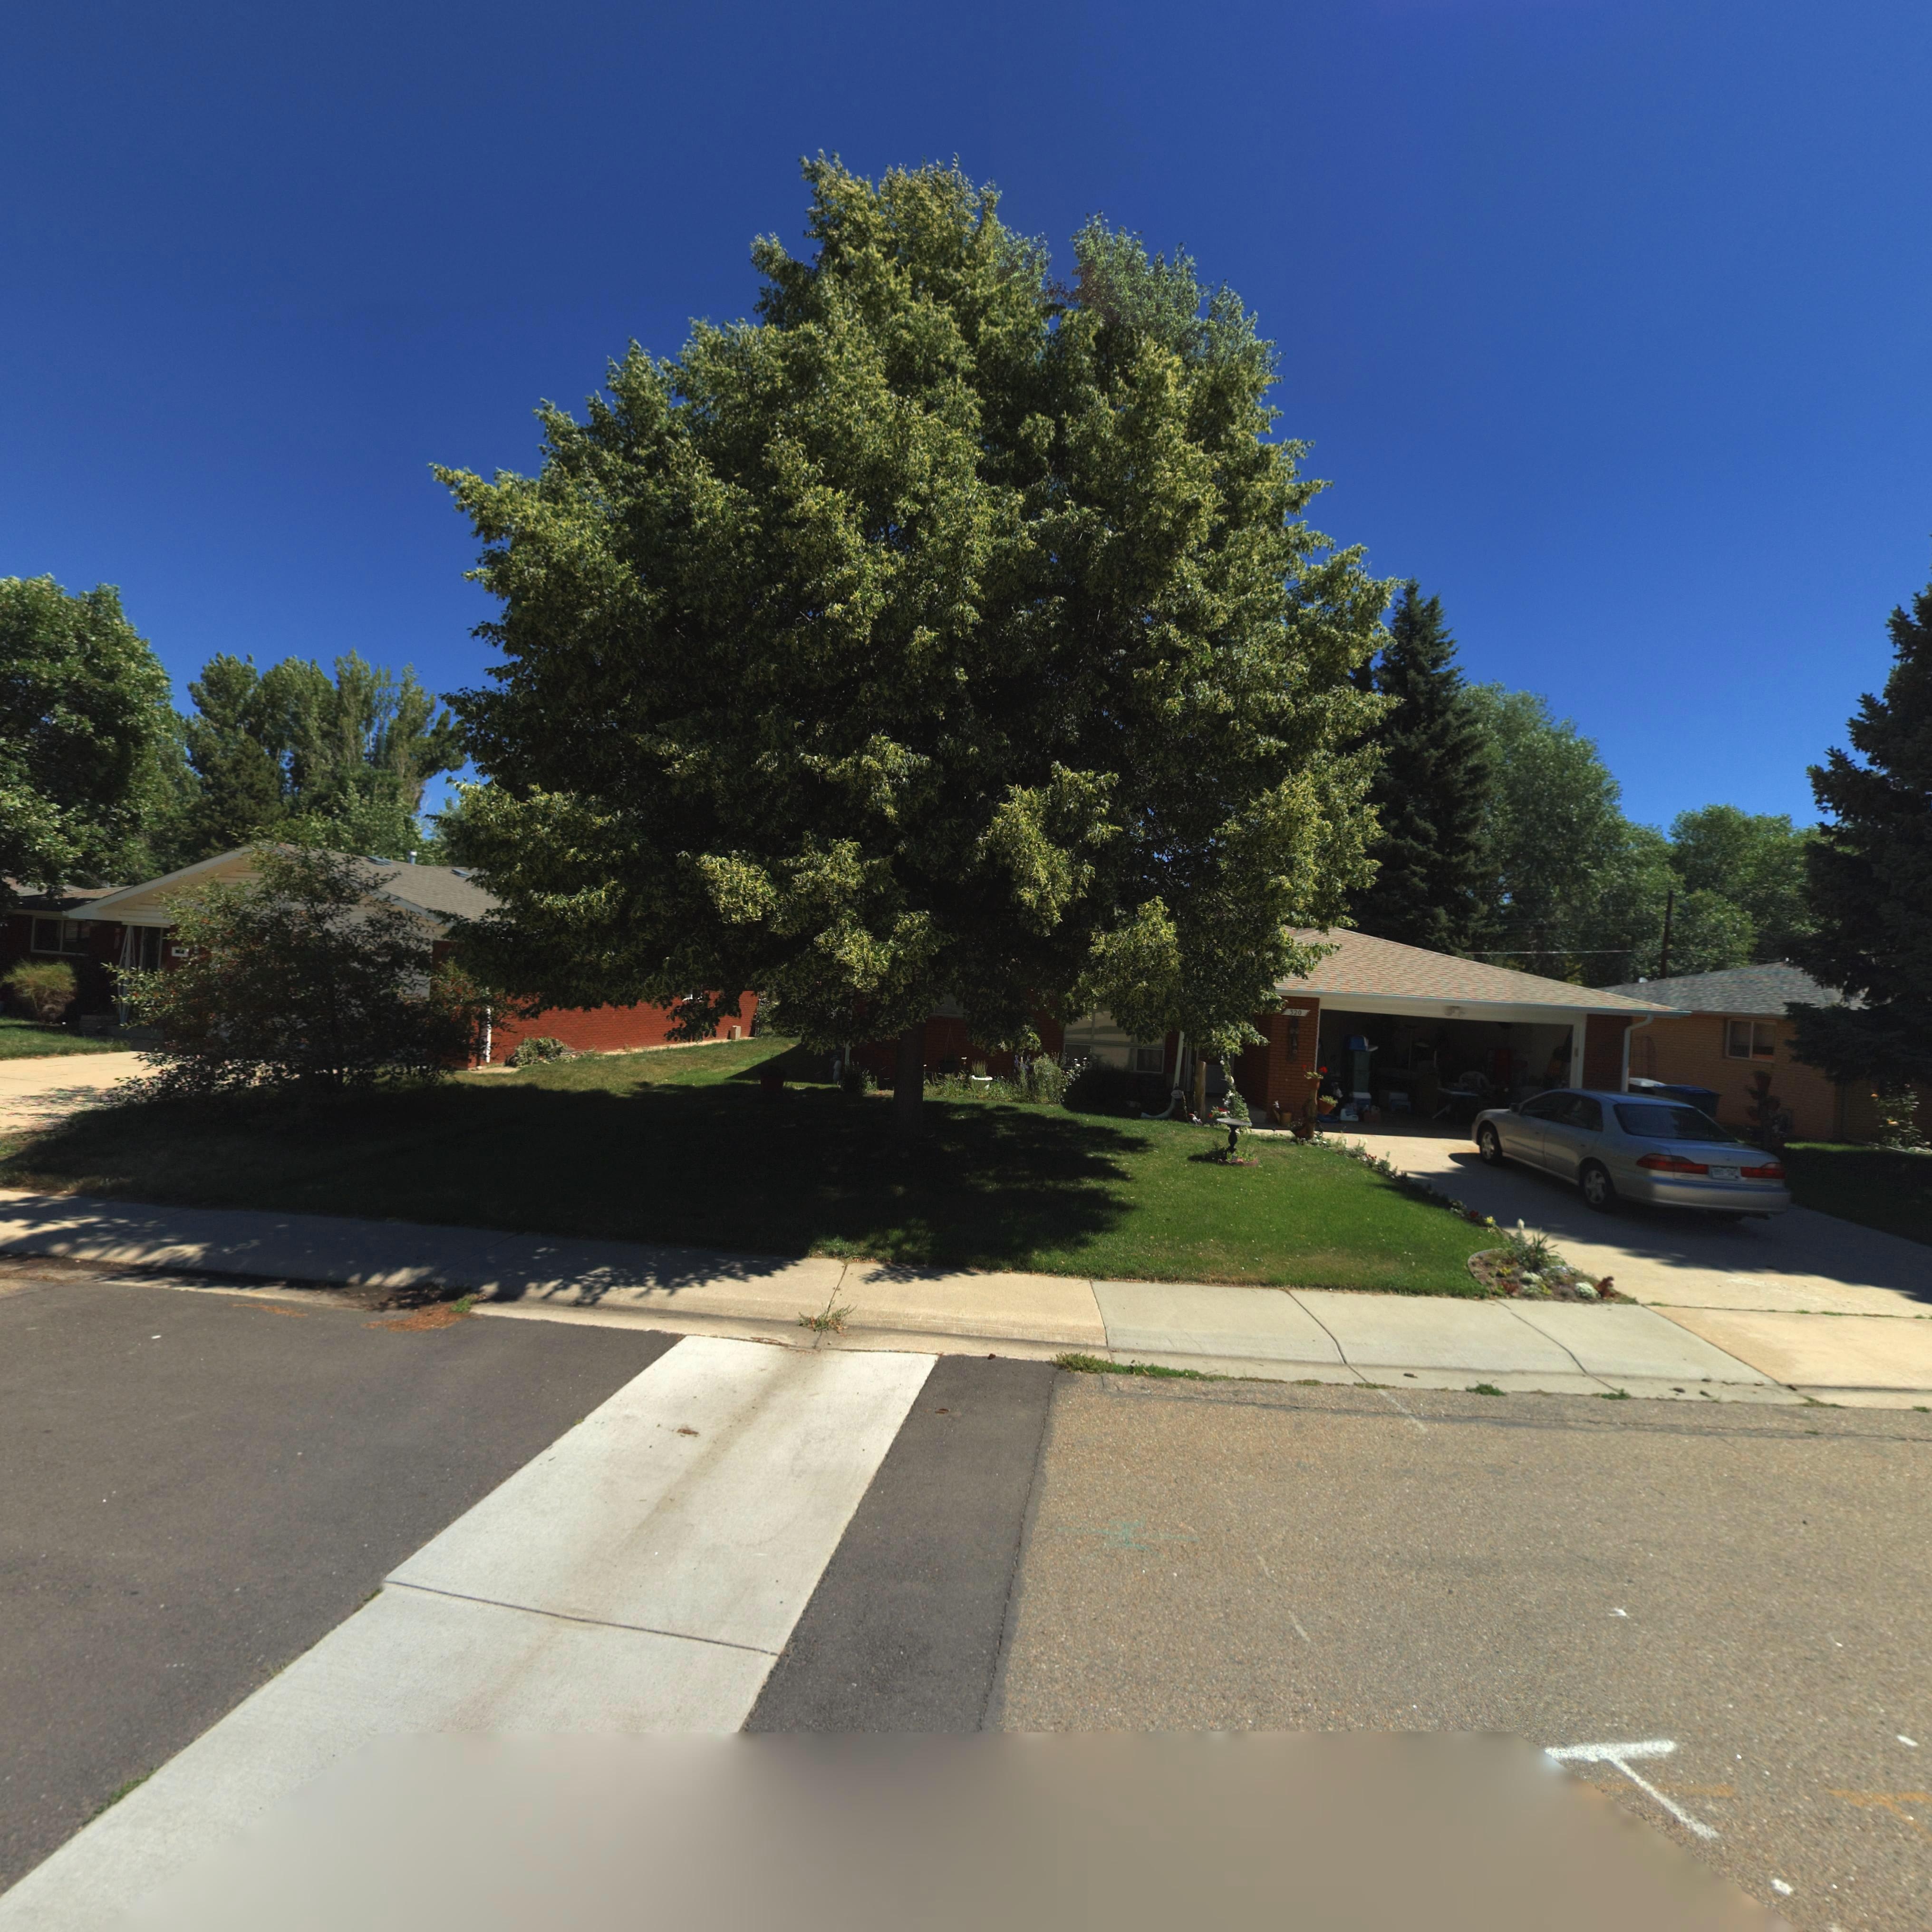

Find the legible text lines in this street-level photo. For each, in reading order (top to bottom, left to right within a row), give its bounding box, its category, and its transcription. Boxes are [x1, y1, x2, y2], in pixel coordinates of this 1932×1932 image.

[1289, 1009, 1302, 1015] StreetNumber: 320